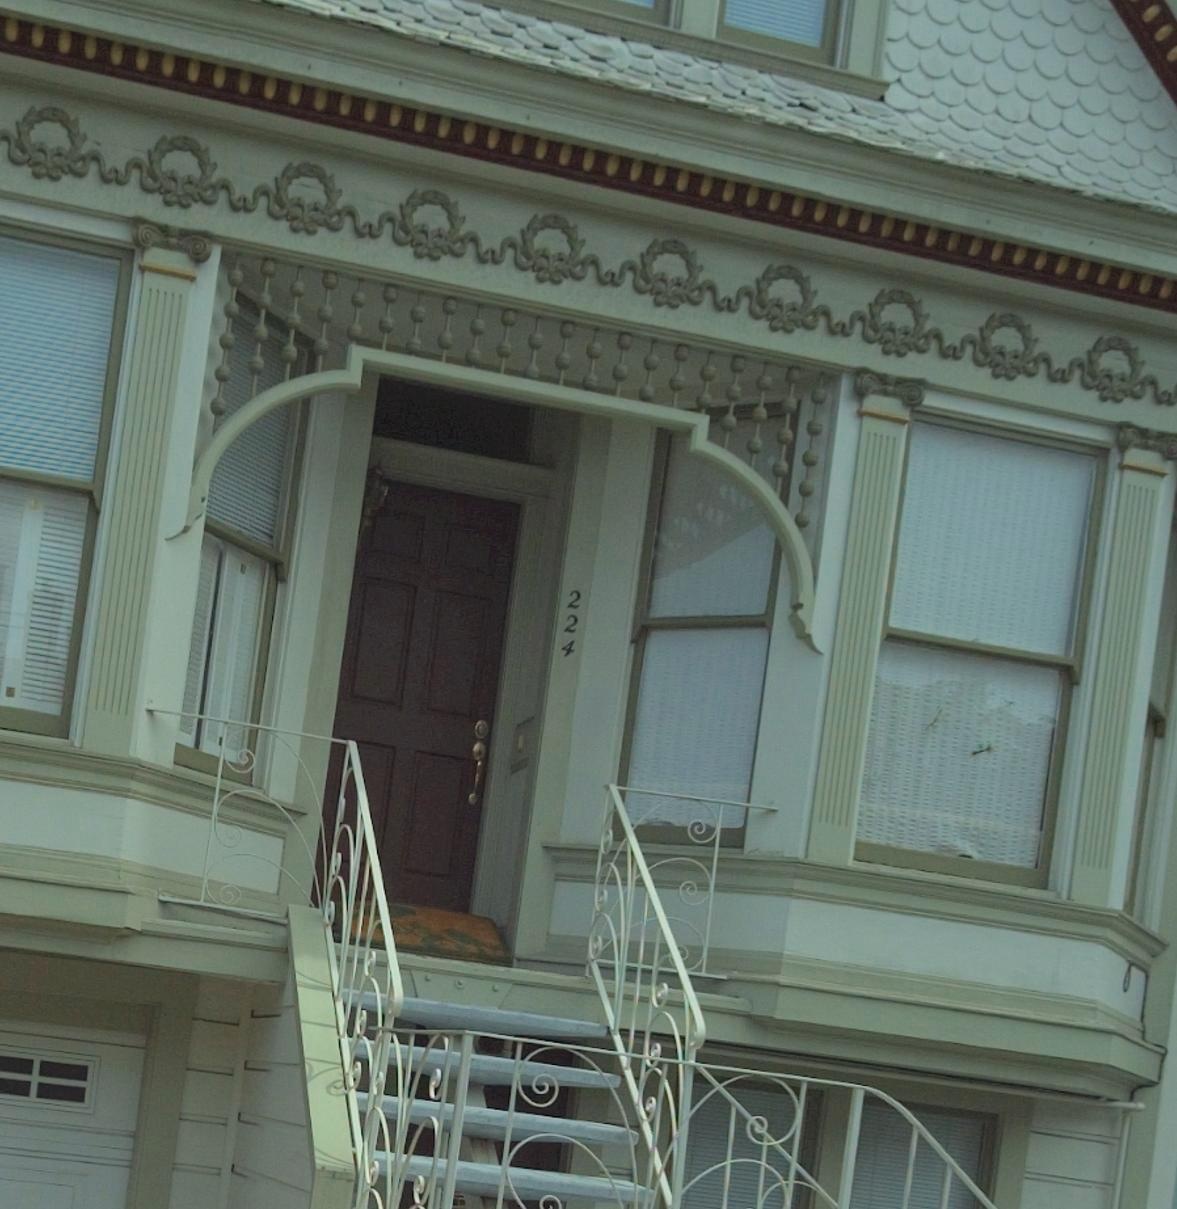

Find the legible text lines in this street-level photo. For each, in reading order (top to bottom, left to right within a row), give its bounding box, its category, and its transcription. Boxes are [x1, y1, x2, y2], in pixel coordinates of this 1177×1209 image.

[558, 584, 587, 663] StreetNumber: 224